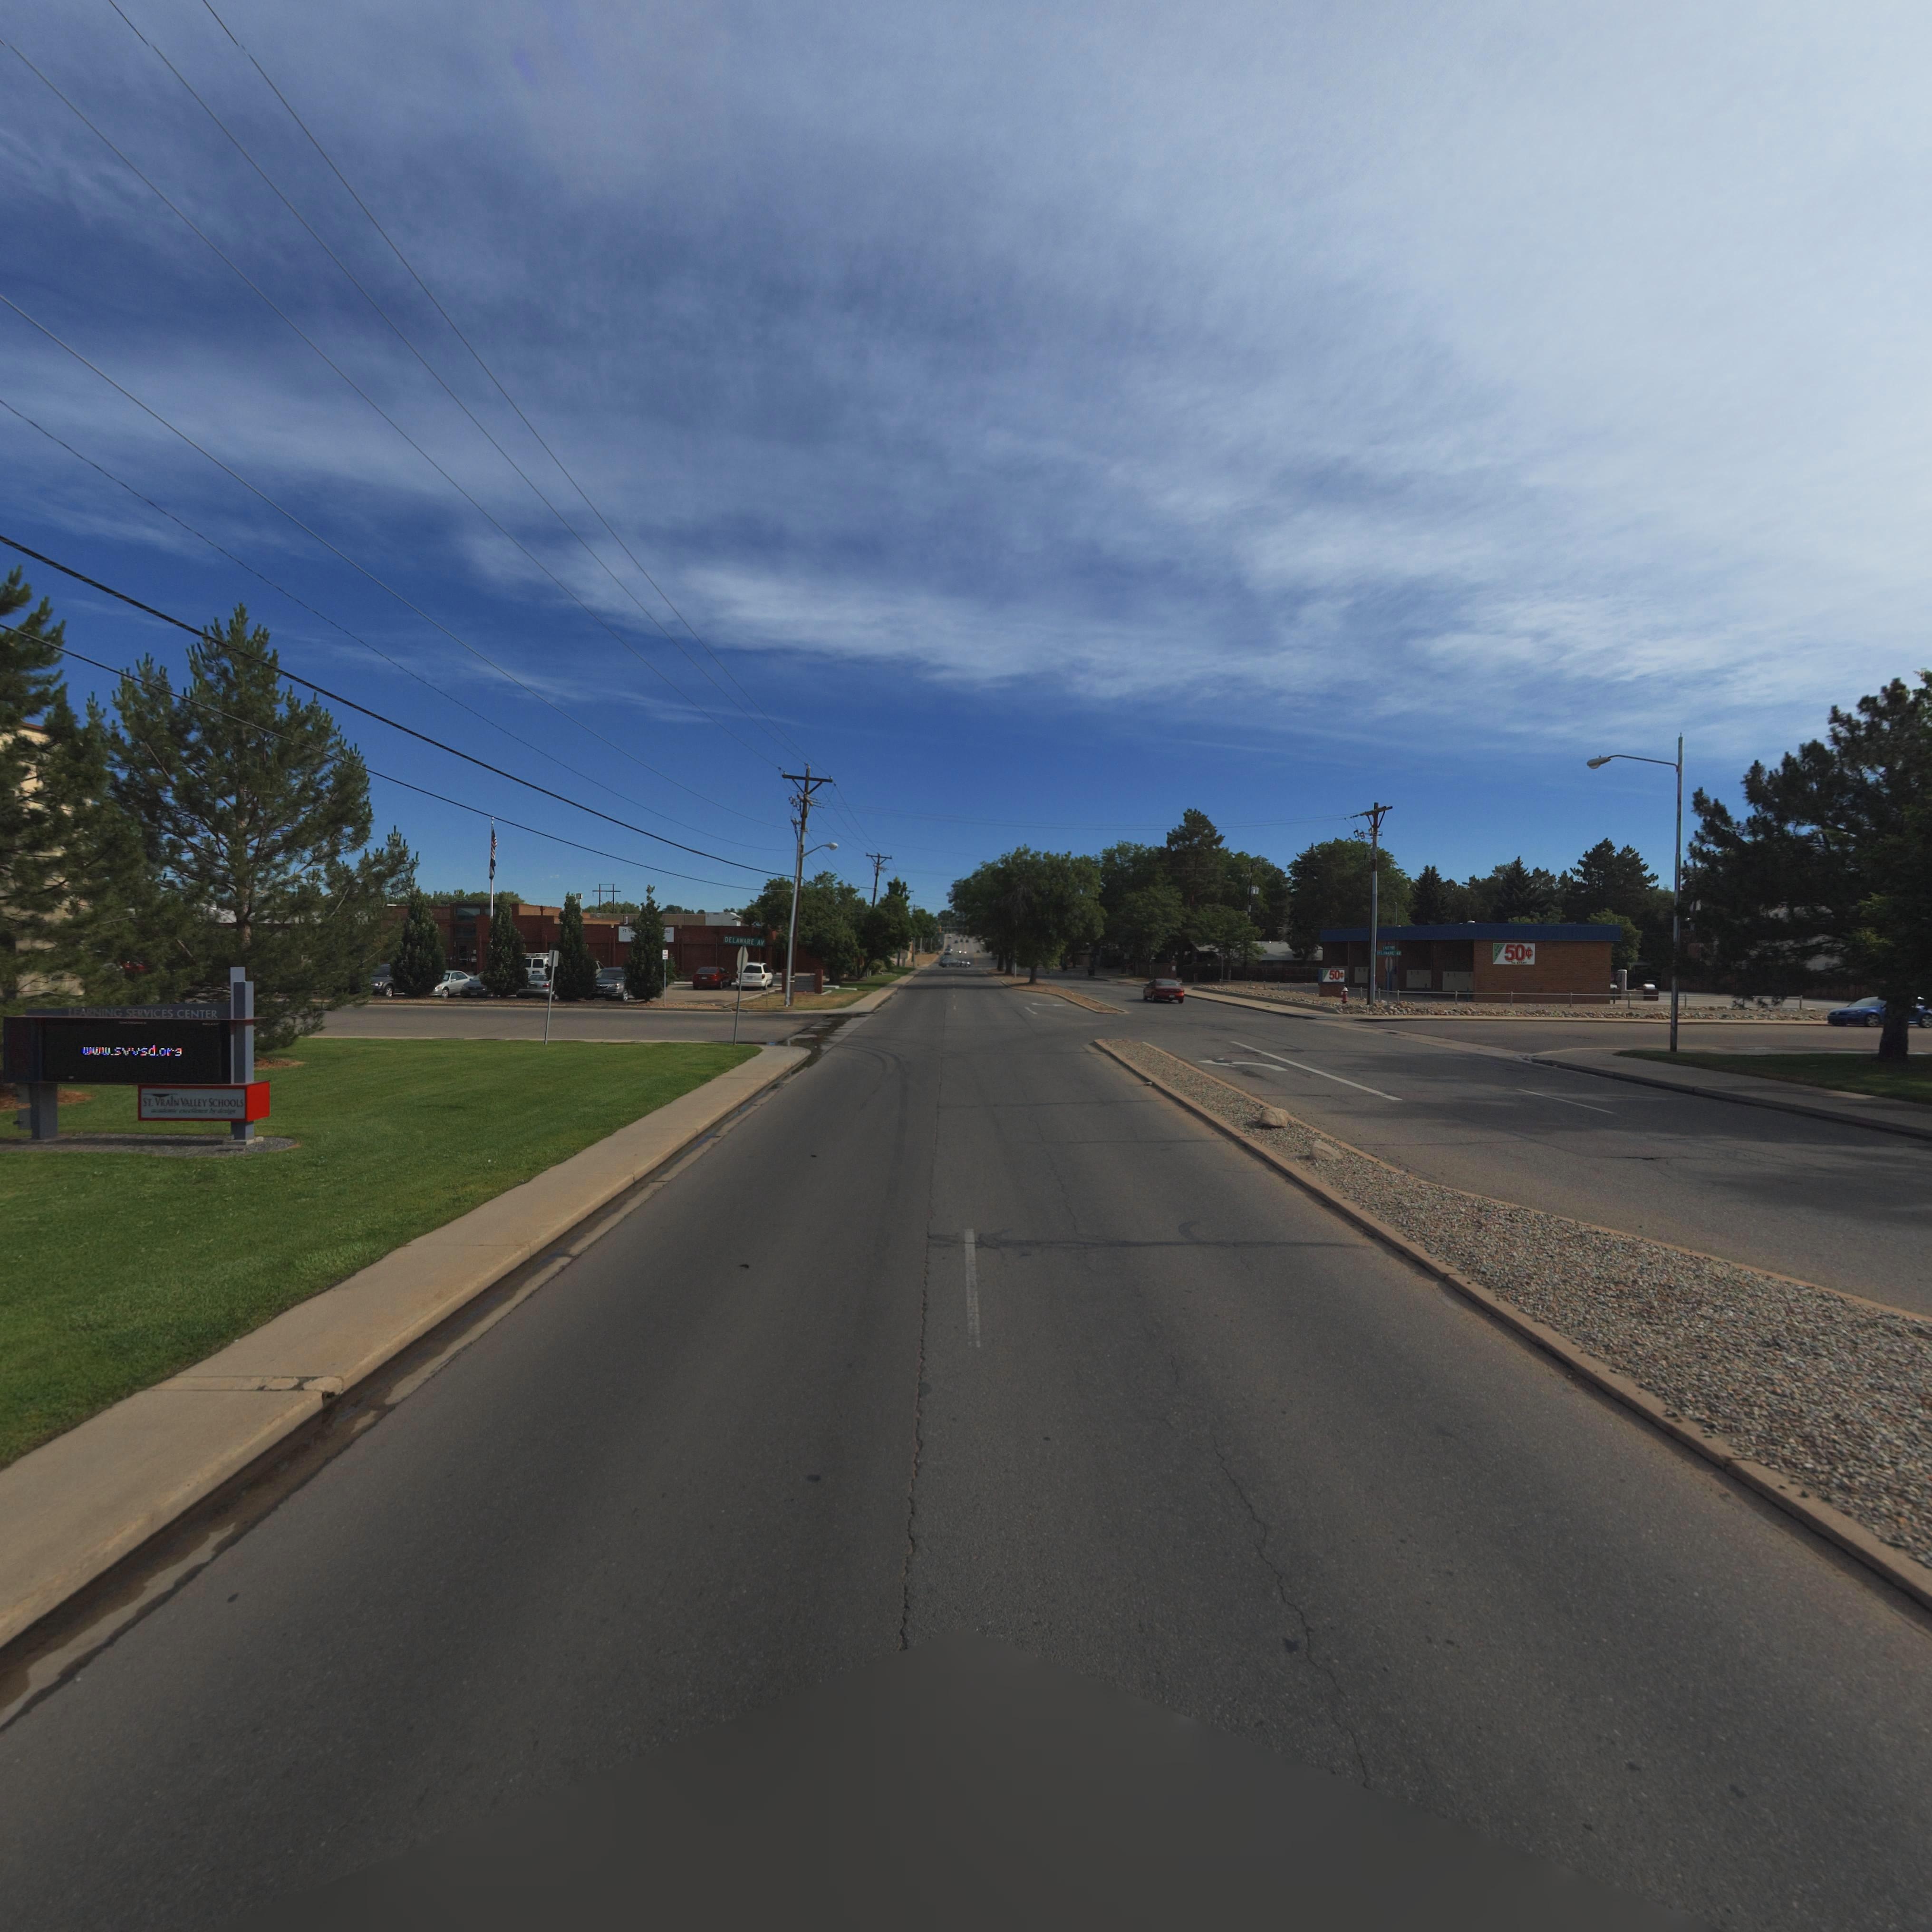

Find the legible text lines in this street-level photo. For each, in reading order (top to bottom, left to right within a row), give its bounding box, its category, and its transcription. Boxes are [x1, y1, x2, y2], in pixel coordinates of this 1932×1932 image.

[622, 928, 670, 933] BusinessName: ST. ***** ****** *****LS
[724, 936, 764, 946] StreetName: DELAWARE AV
[1376, 951, 1401, 955] StreetName: **L****E *V
[67, 1006, 218, 1019] BusinessName: LEARNING SERVICES CENTER
[142, 1097, 243, 1107] BusinessName: ST. VRAIN VALLEY SCHOOLS